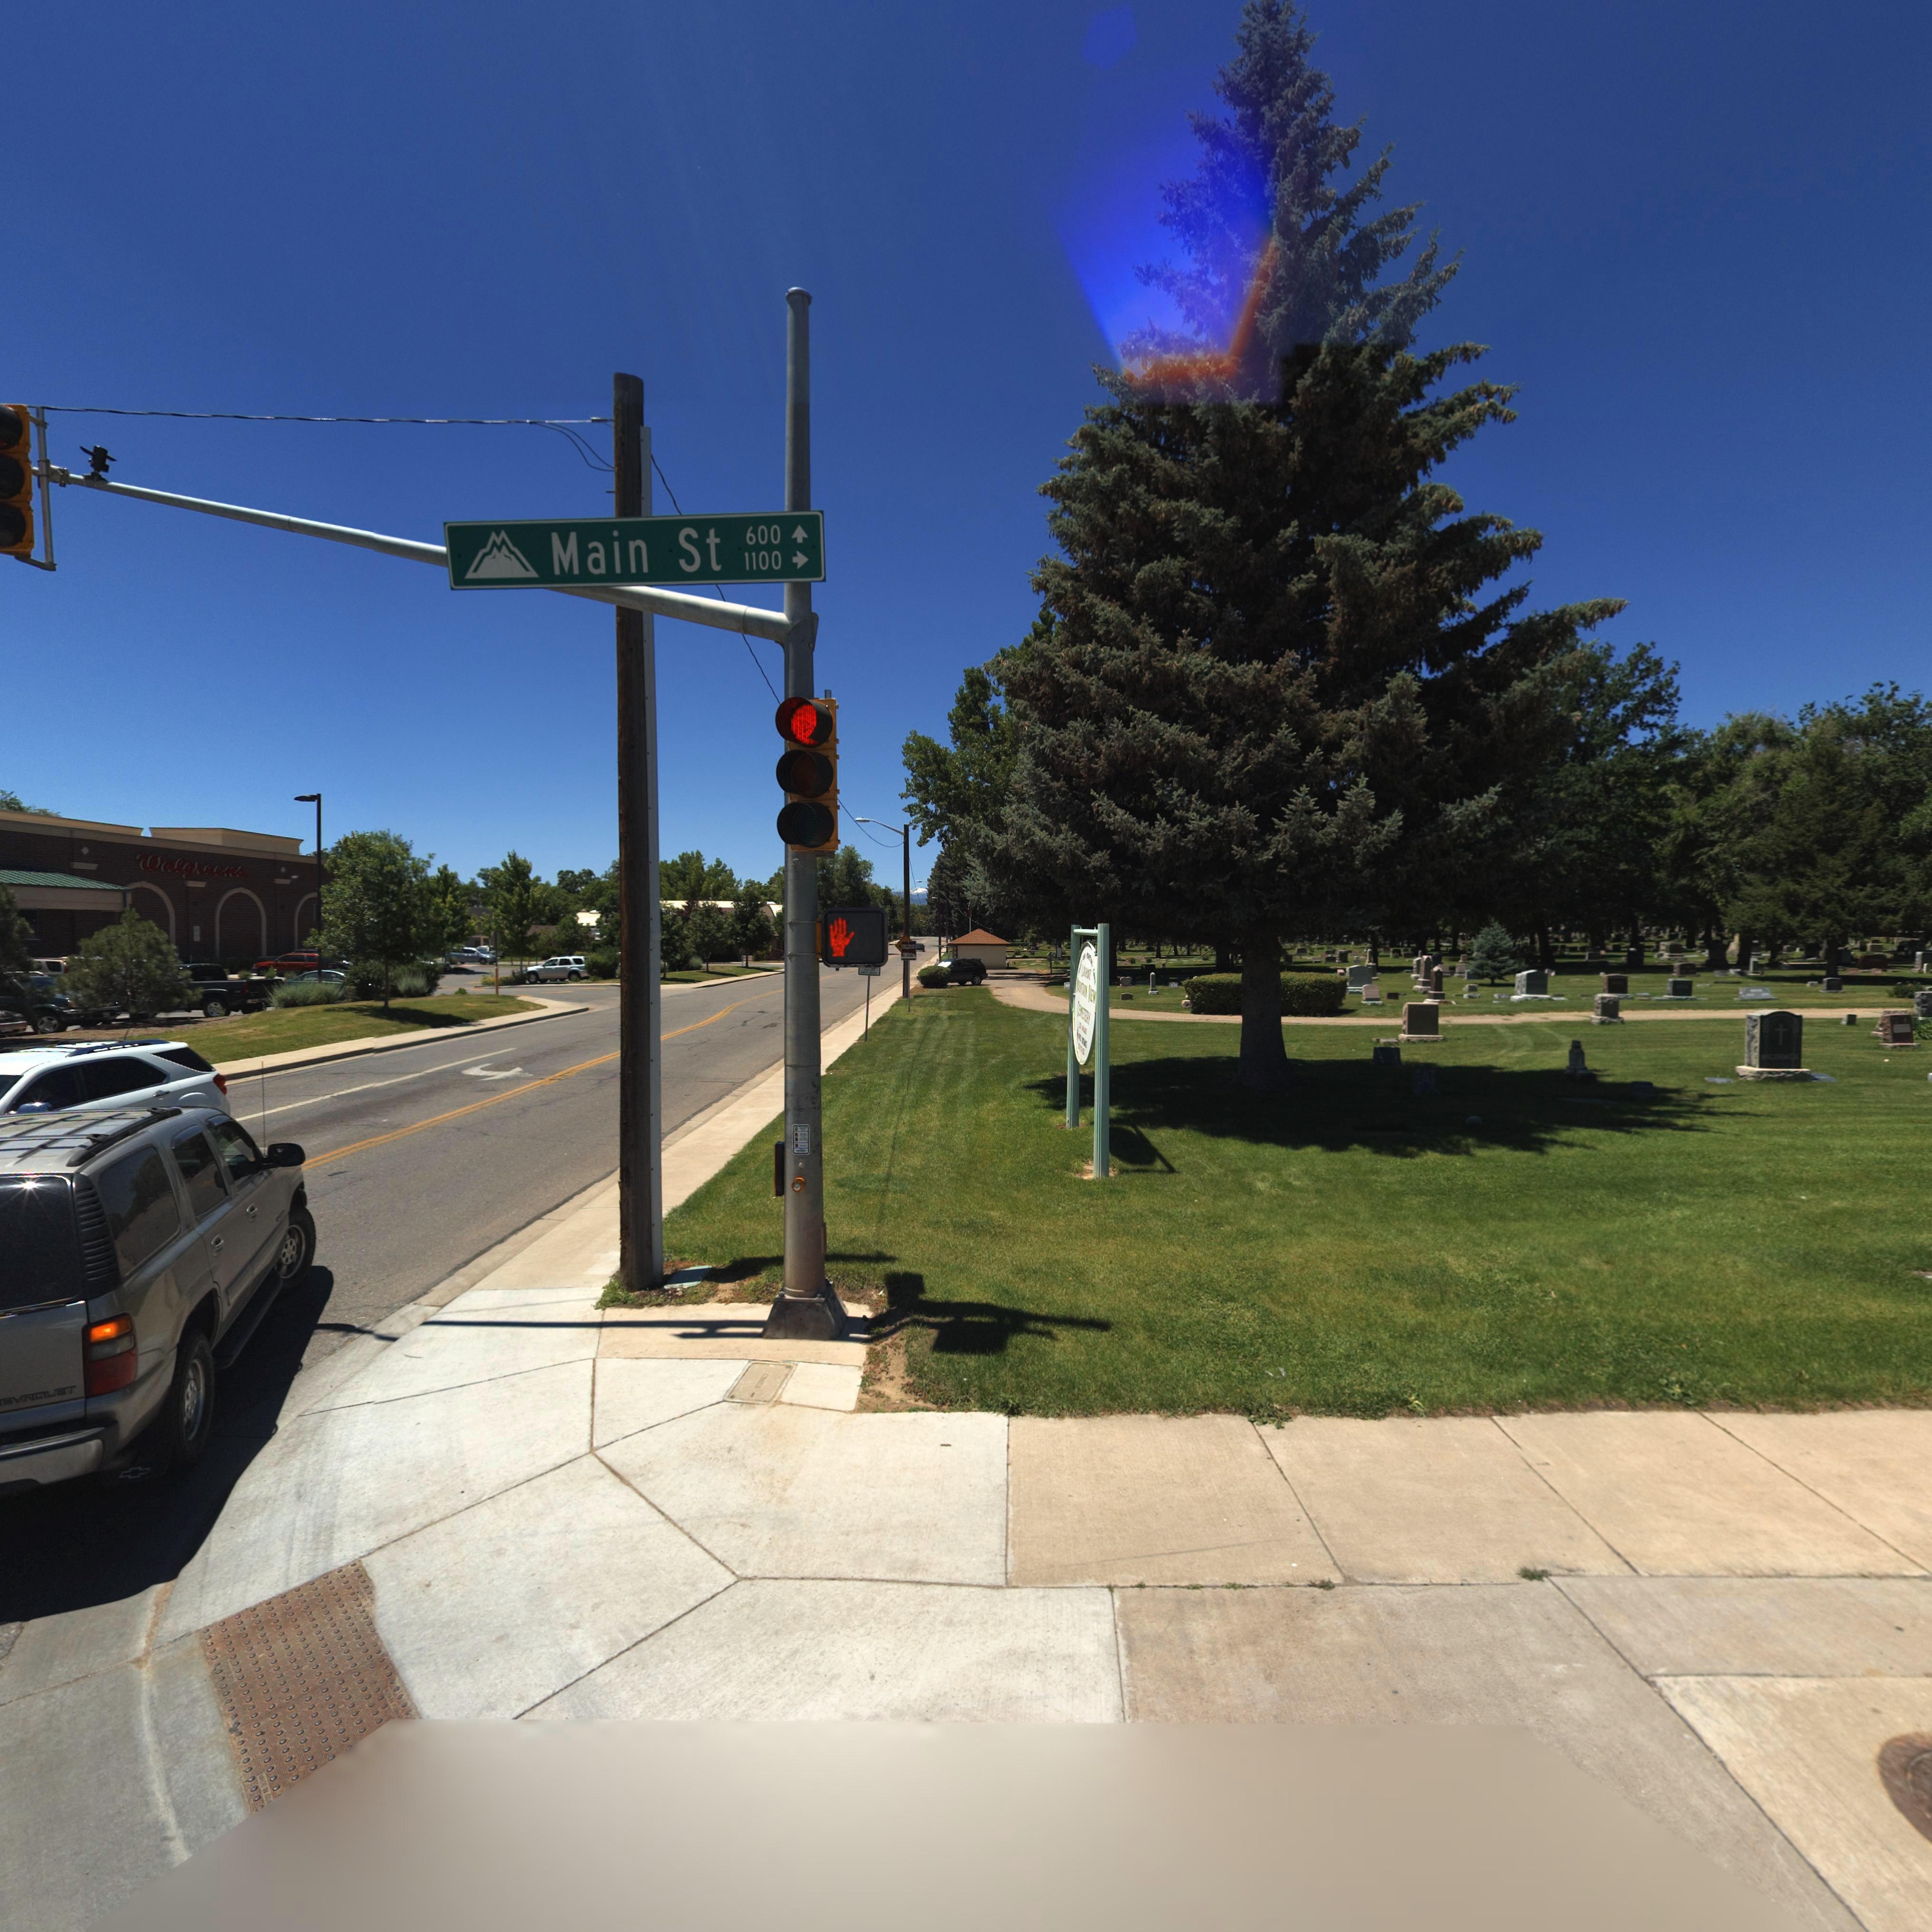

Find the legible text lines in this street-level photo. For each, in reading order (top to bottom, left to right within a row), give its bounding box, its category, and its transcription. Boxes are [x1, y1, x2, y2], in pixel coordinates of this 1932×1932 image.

[745, 524, 781, 545] StreetNumberRange: 600
[550, 526, 723, 576] StreetName: Main St
[744, 550, 810, 570] StreetNumberRange: 1100 ->
[135, 852, 248, 879] BusinessName: Walgreens
[1075, 976, 1095, 1004] BusinessName: M***T**N V*E*
[1077, 1000, 1091, 1025] BusinessName: CE*E****